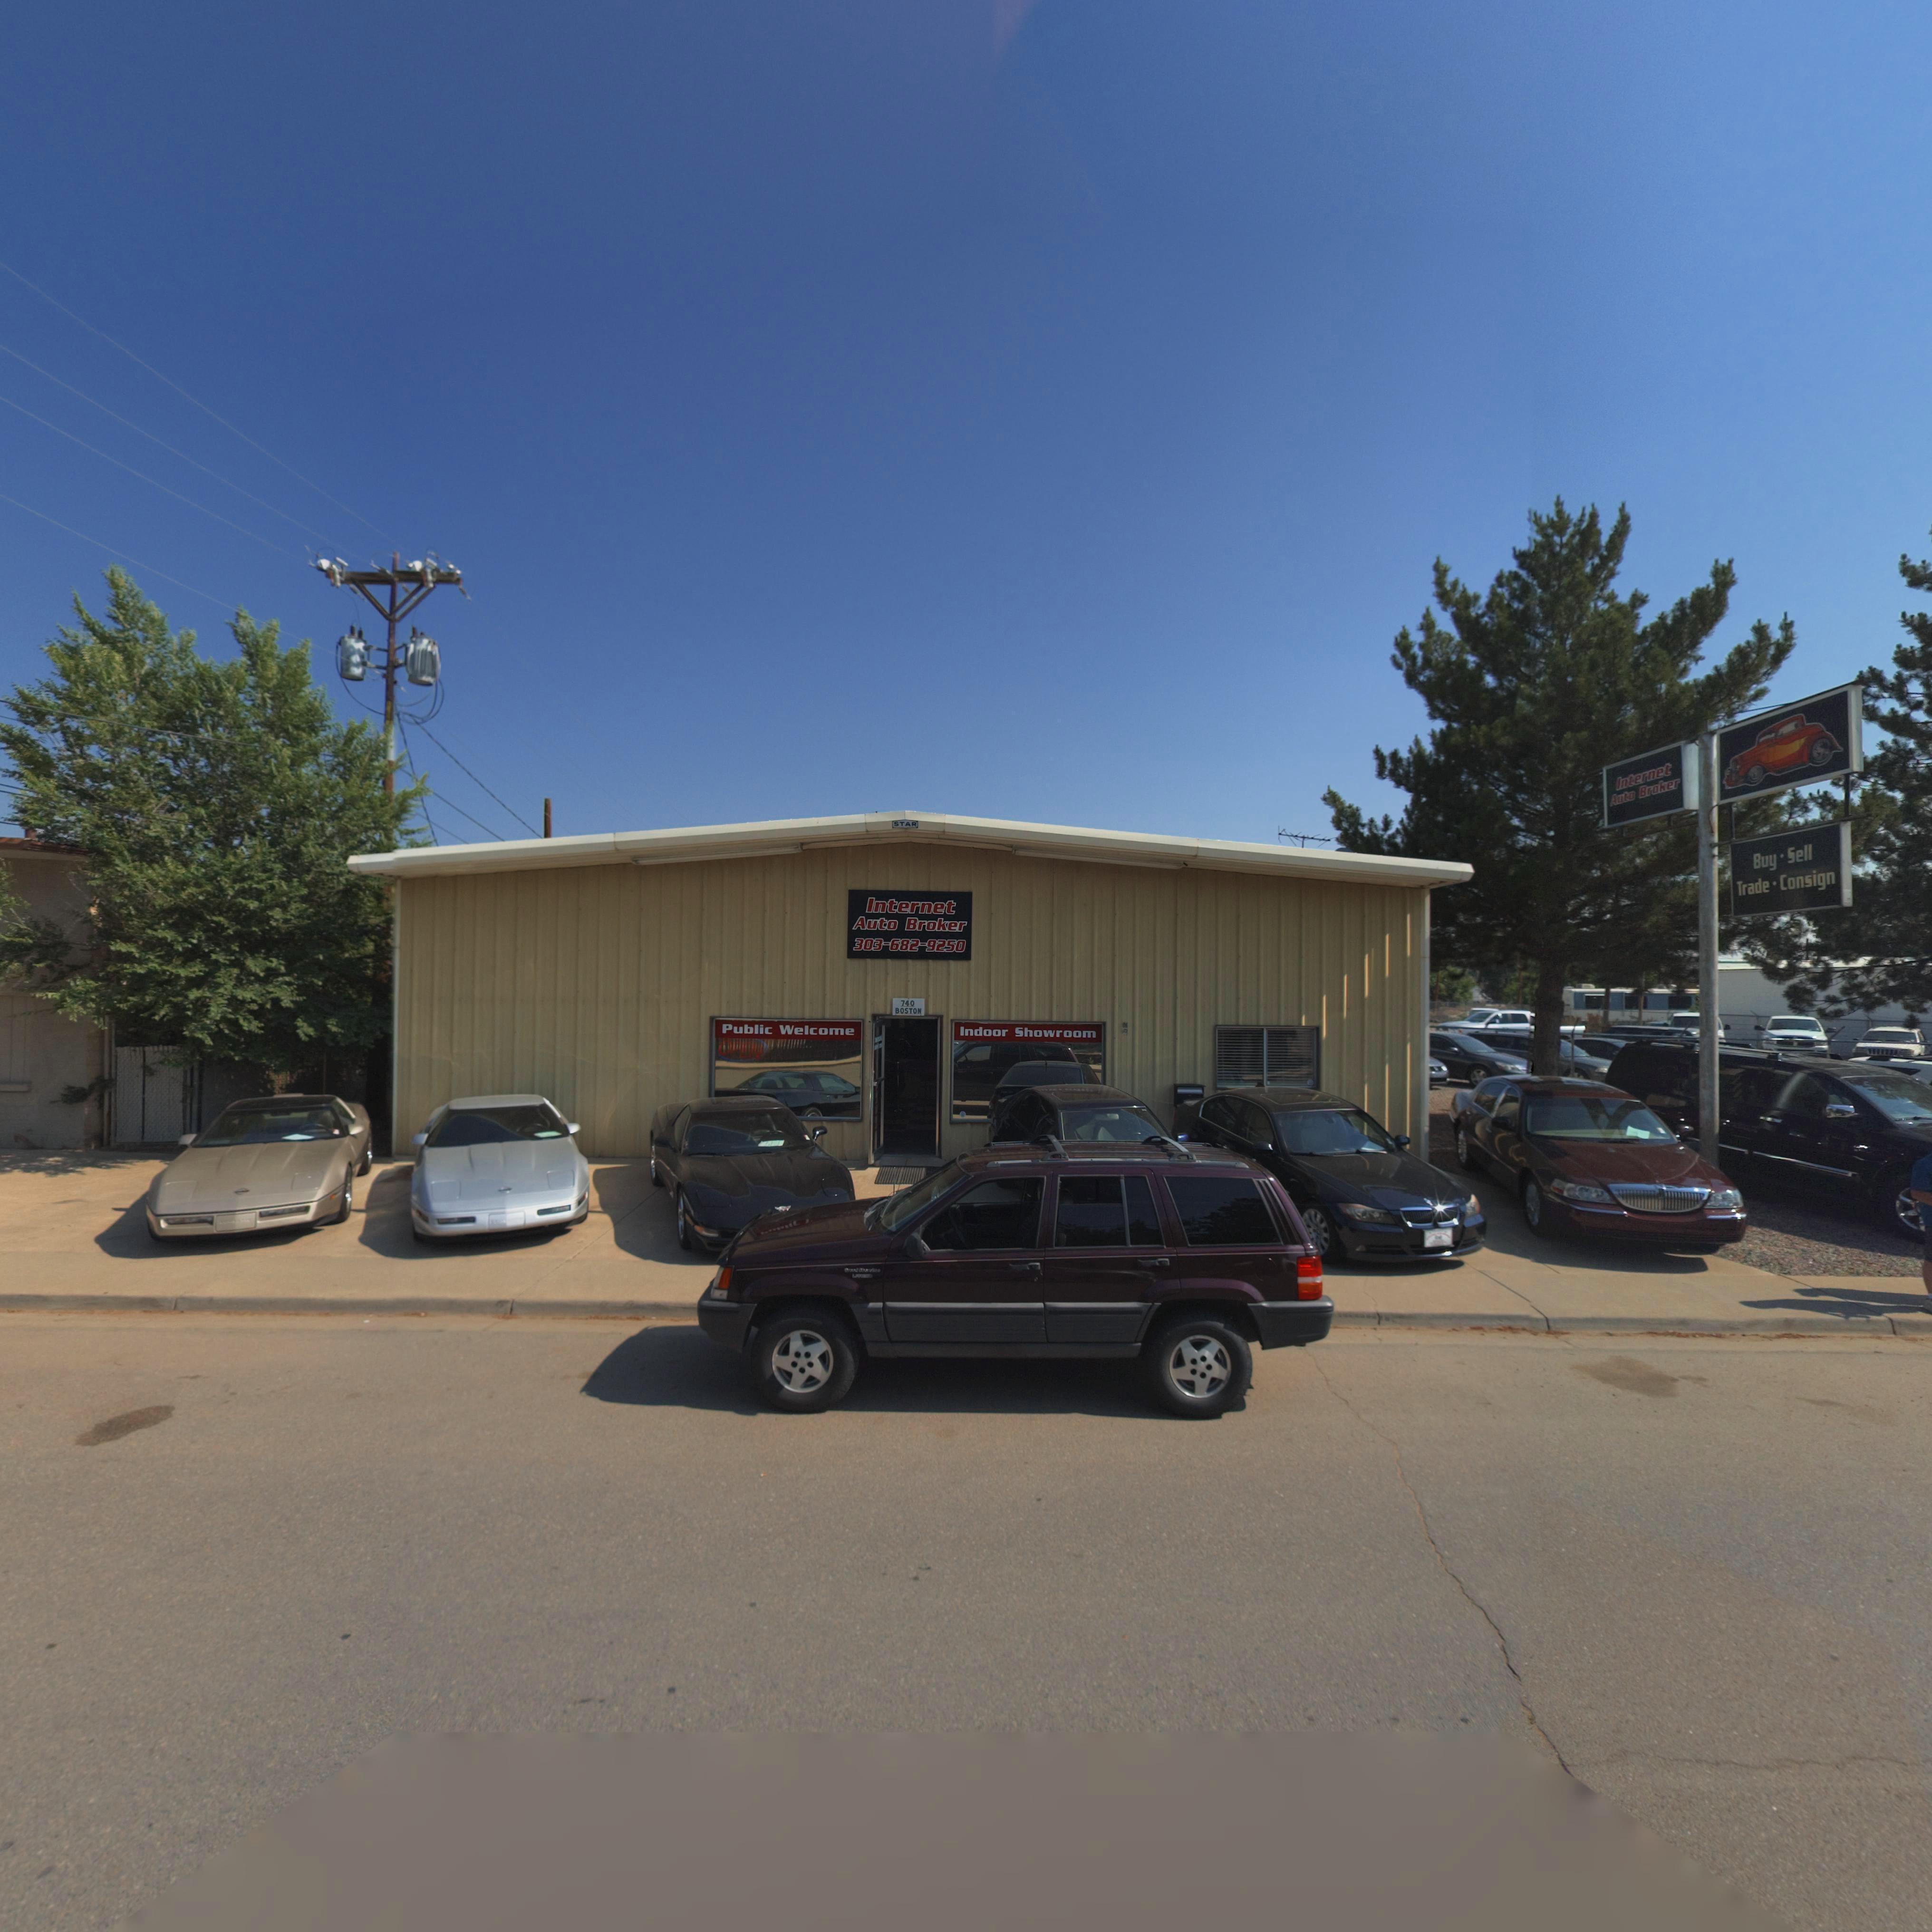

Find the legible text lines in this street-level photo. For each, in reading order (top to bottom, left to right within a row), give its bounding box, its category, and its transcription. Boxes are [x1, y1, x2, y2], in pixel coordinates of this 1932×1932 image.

[1615, 762, 1672, 791] BusinessName: Internet
[1609, 778, 1681, 808] BusinessName: Auto Broker
[864, 897, 957, 915] BusinessName: Internet
[851, 915, 968, 933] BusinessName: Auto Broker
[899, 1000, 915, 1006] StreetNumber: 740
[894, 1007, 922, 1014] StreetName: BOSTON